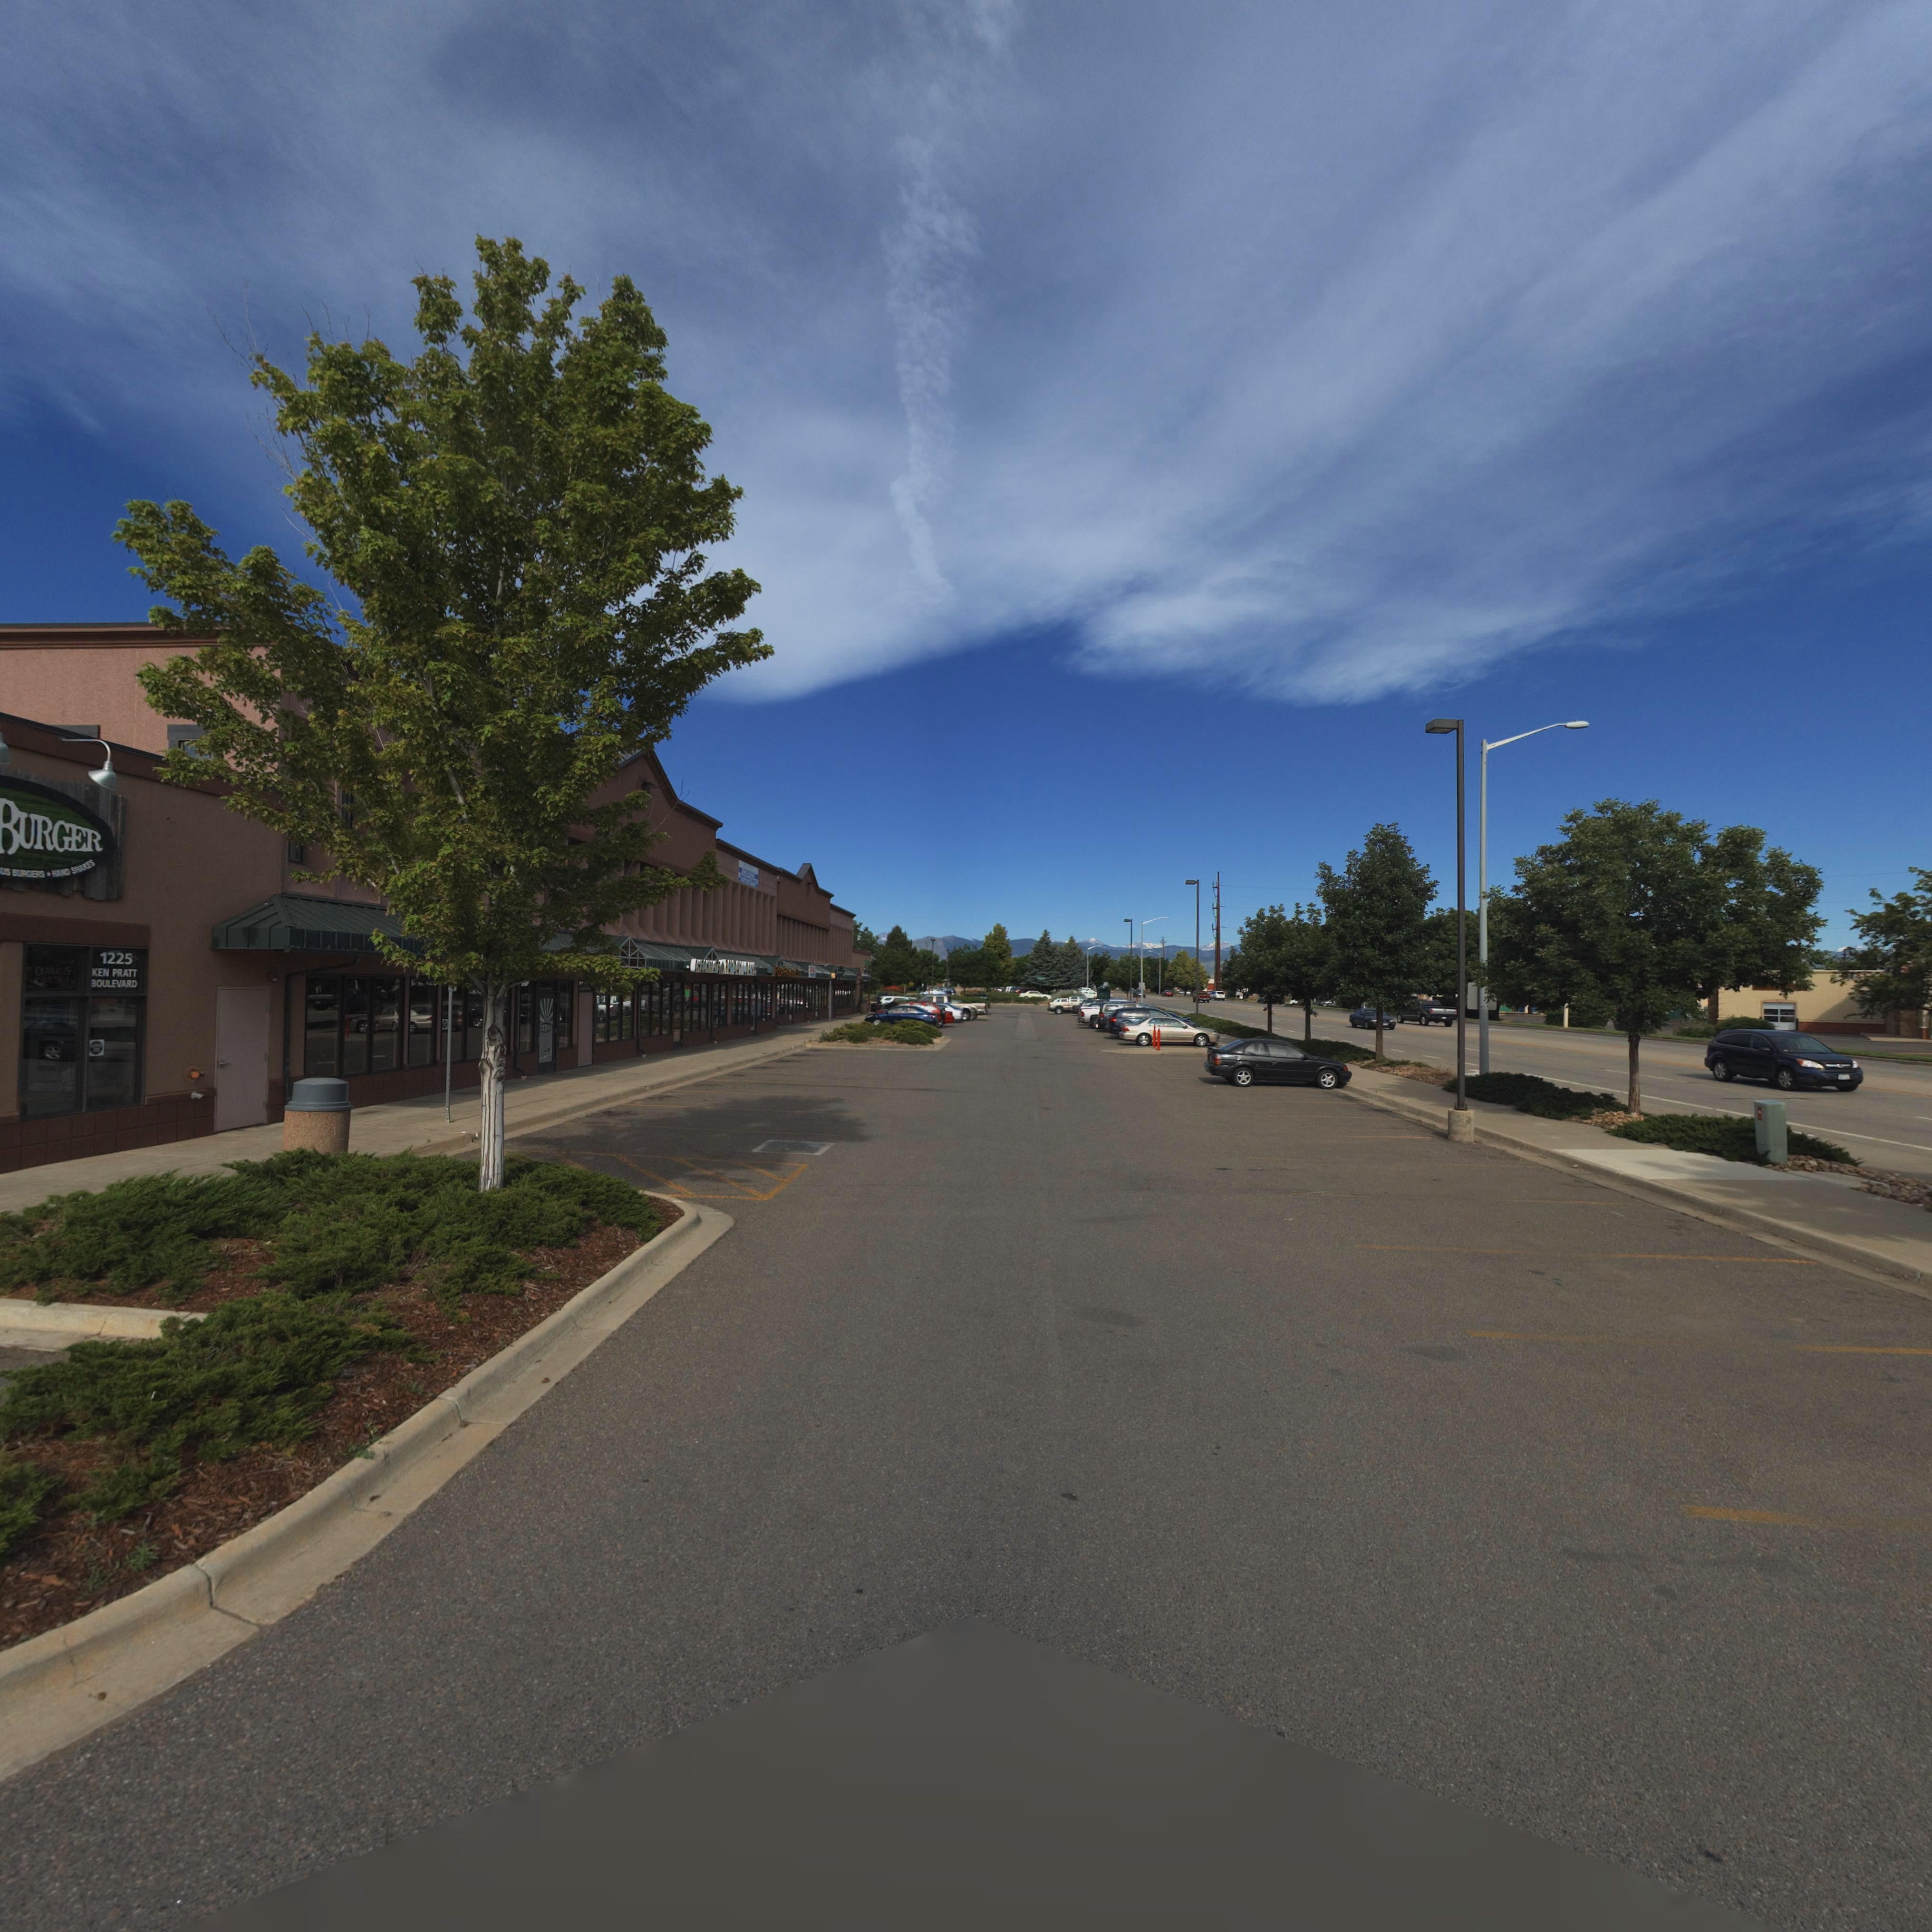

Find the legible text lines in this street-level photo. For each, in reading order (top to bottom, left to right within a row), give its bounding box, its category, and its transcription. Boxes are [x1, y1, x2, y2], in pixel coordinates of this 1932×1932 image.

[0, 797, 103, 854] BusinessName: BURGER
[100, 952, 133, 965] StreetNumber: 1225
[92, 967, 137, 977] StreetName: KEN PRATT
[689, 958, 756, 976] BusinessName: CHECKMATE * PAYDAY LOANS
[772, 966, 800, 977] BusinessName: FOURPAWS***
[91, 979, 137, 987] StreetName: BOULEVARD